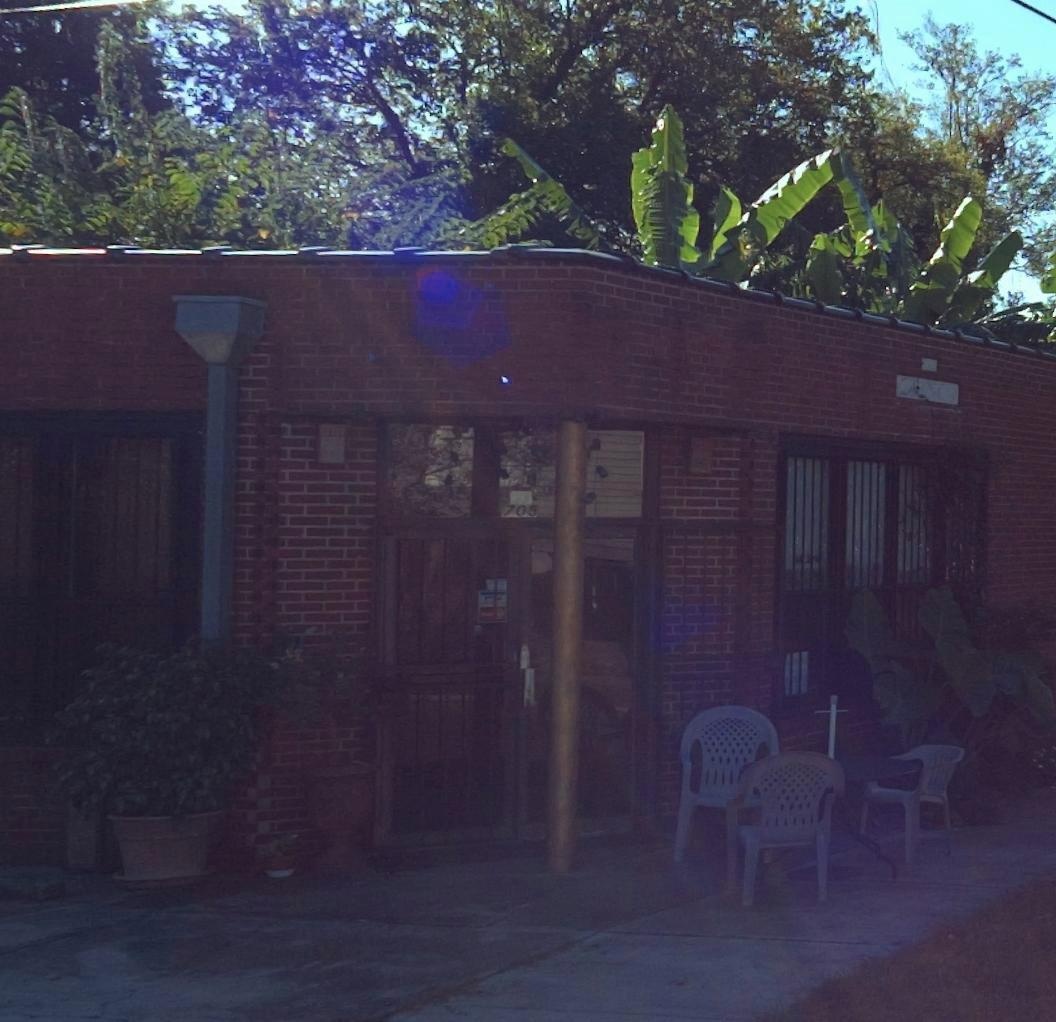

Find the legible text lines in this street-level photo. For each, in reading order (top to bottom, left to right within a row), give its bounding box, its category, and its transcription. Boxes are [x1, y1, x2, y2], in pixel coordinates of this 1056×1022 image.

[503, 503, 539, 518] StreetNumber: 705